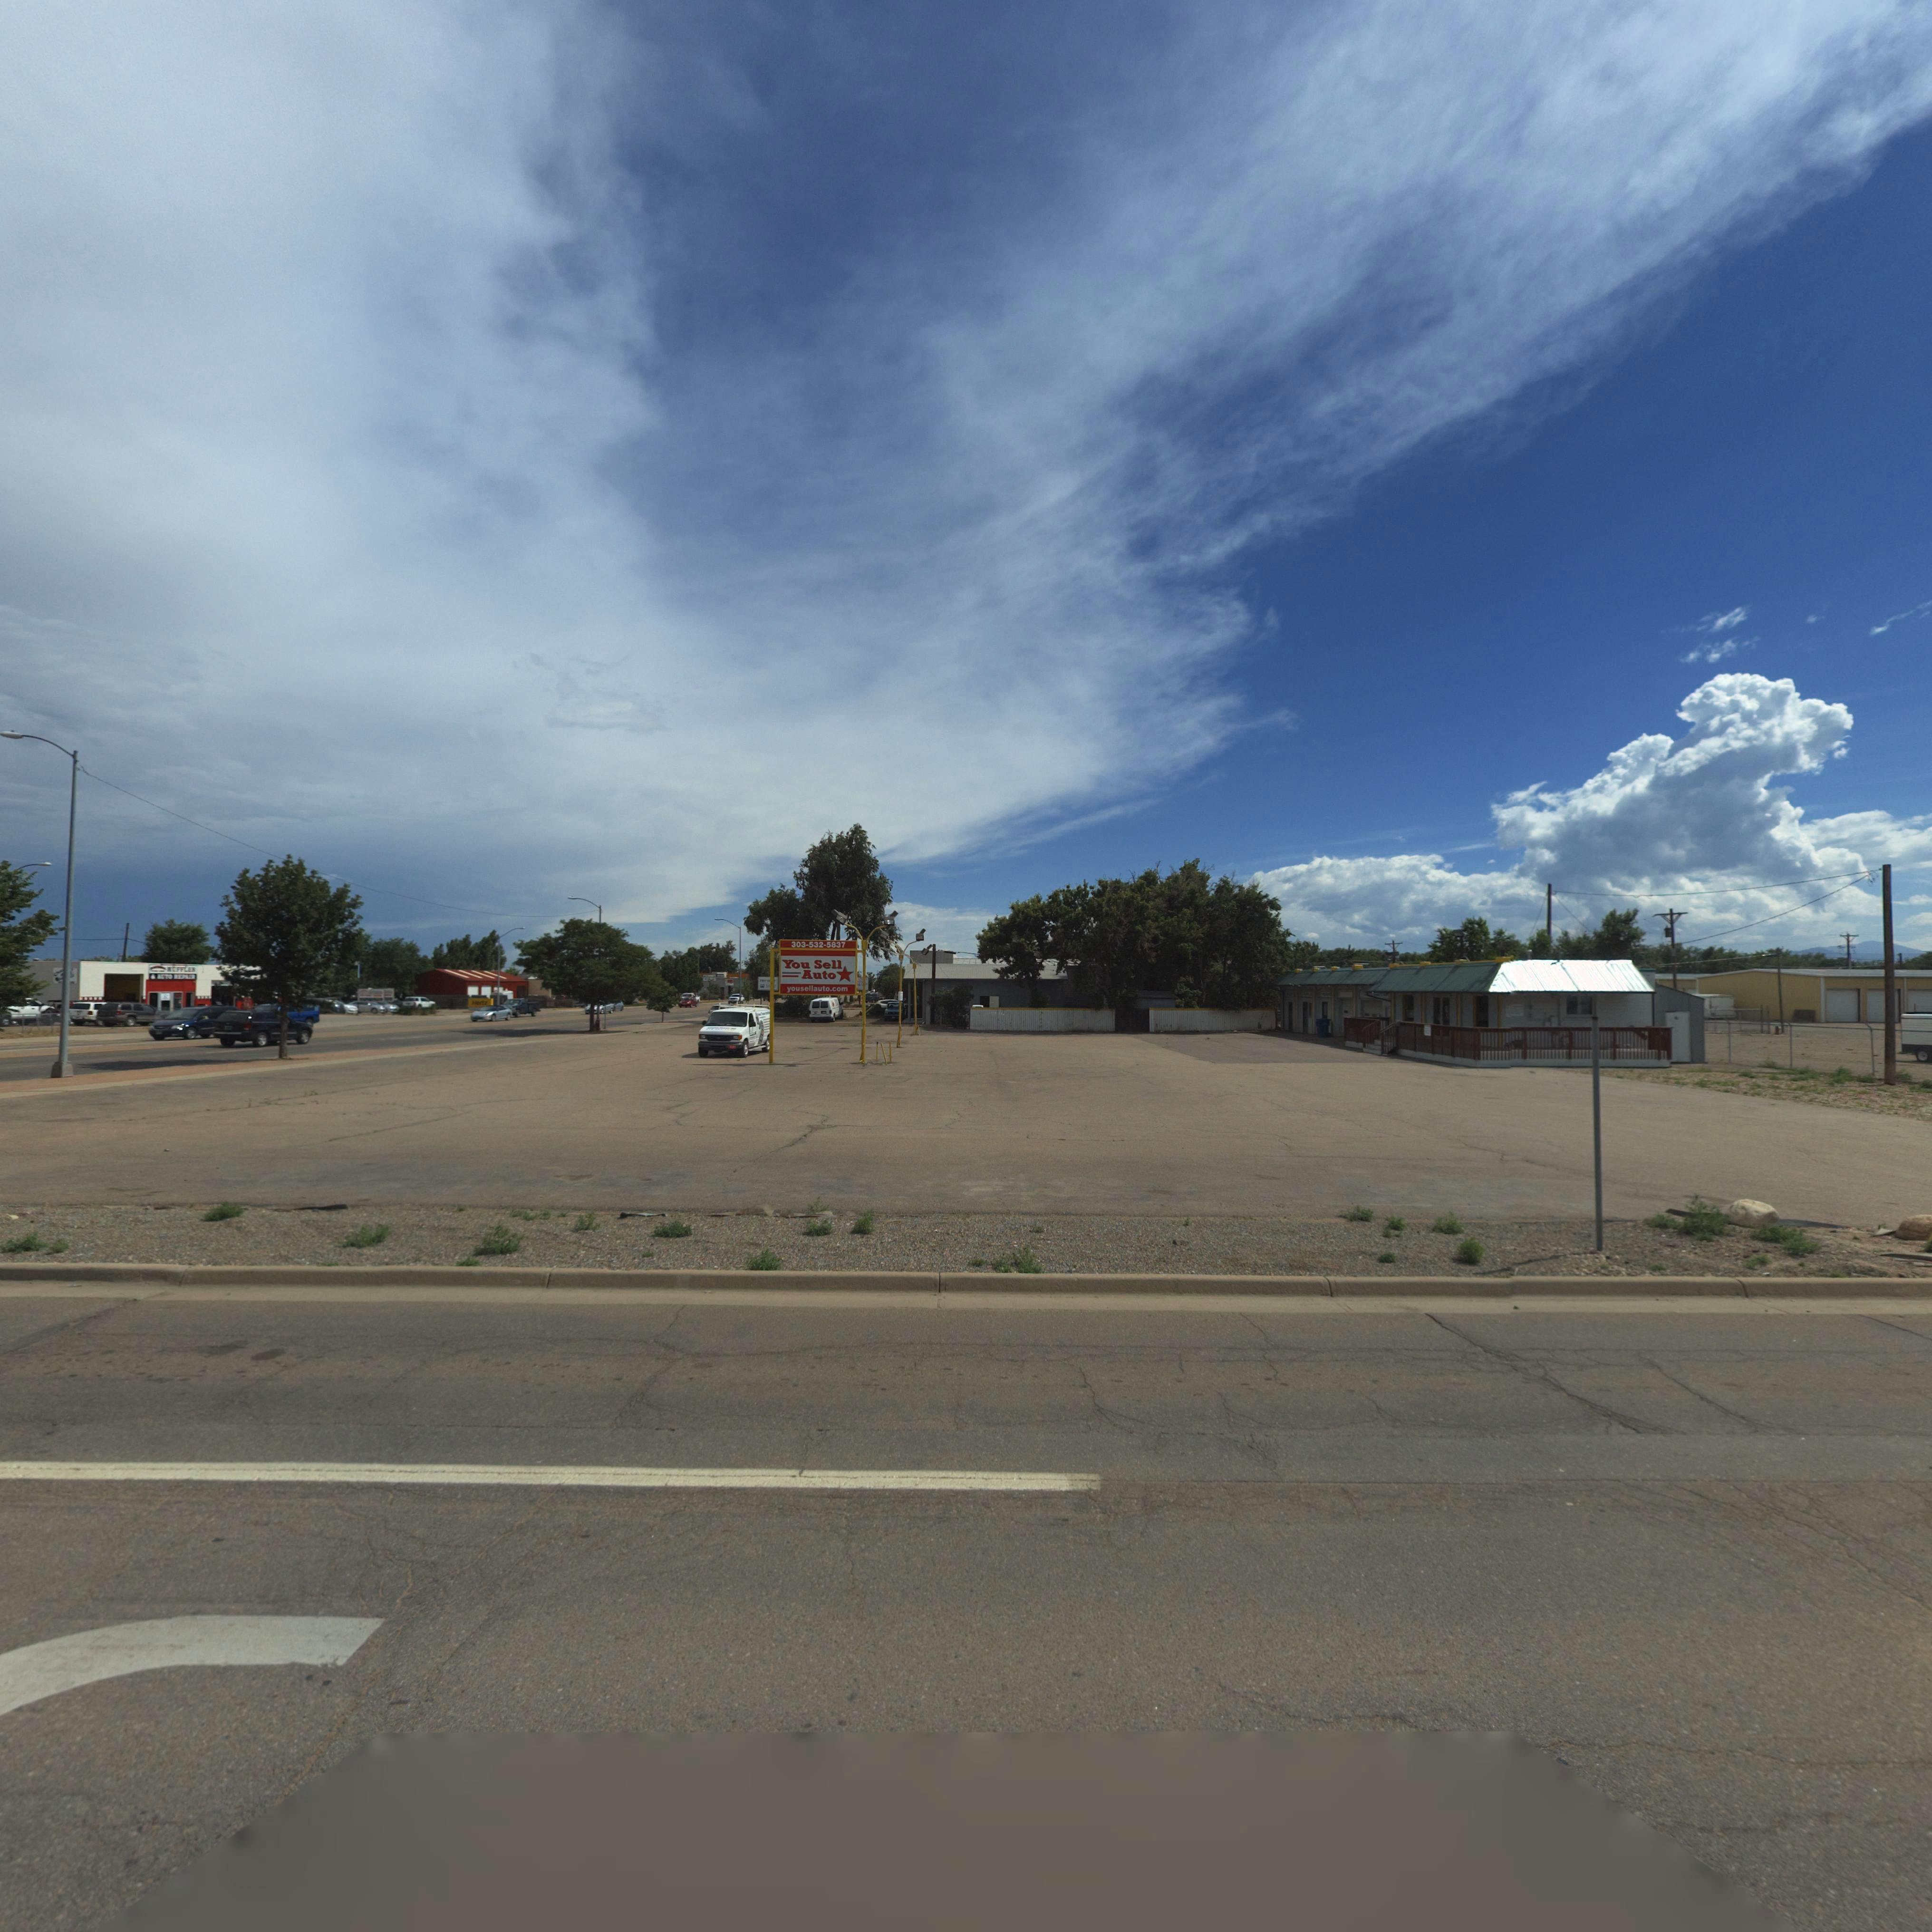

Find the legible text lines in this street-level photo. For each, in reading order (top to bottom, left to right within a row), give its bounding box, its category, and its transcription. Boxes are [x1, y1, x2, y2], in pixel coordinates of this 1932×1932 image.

[166, 967, 195, 972] BusinessName: M*FFLE*
[150, 974, 195, 979] BusinessName: * *UTO *EP***
[472, 1000, 488, 1005] BusinessName: *er*z